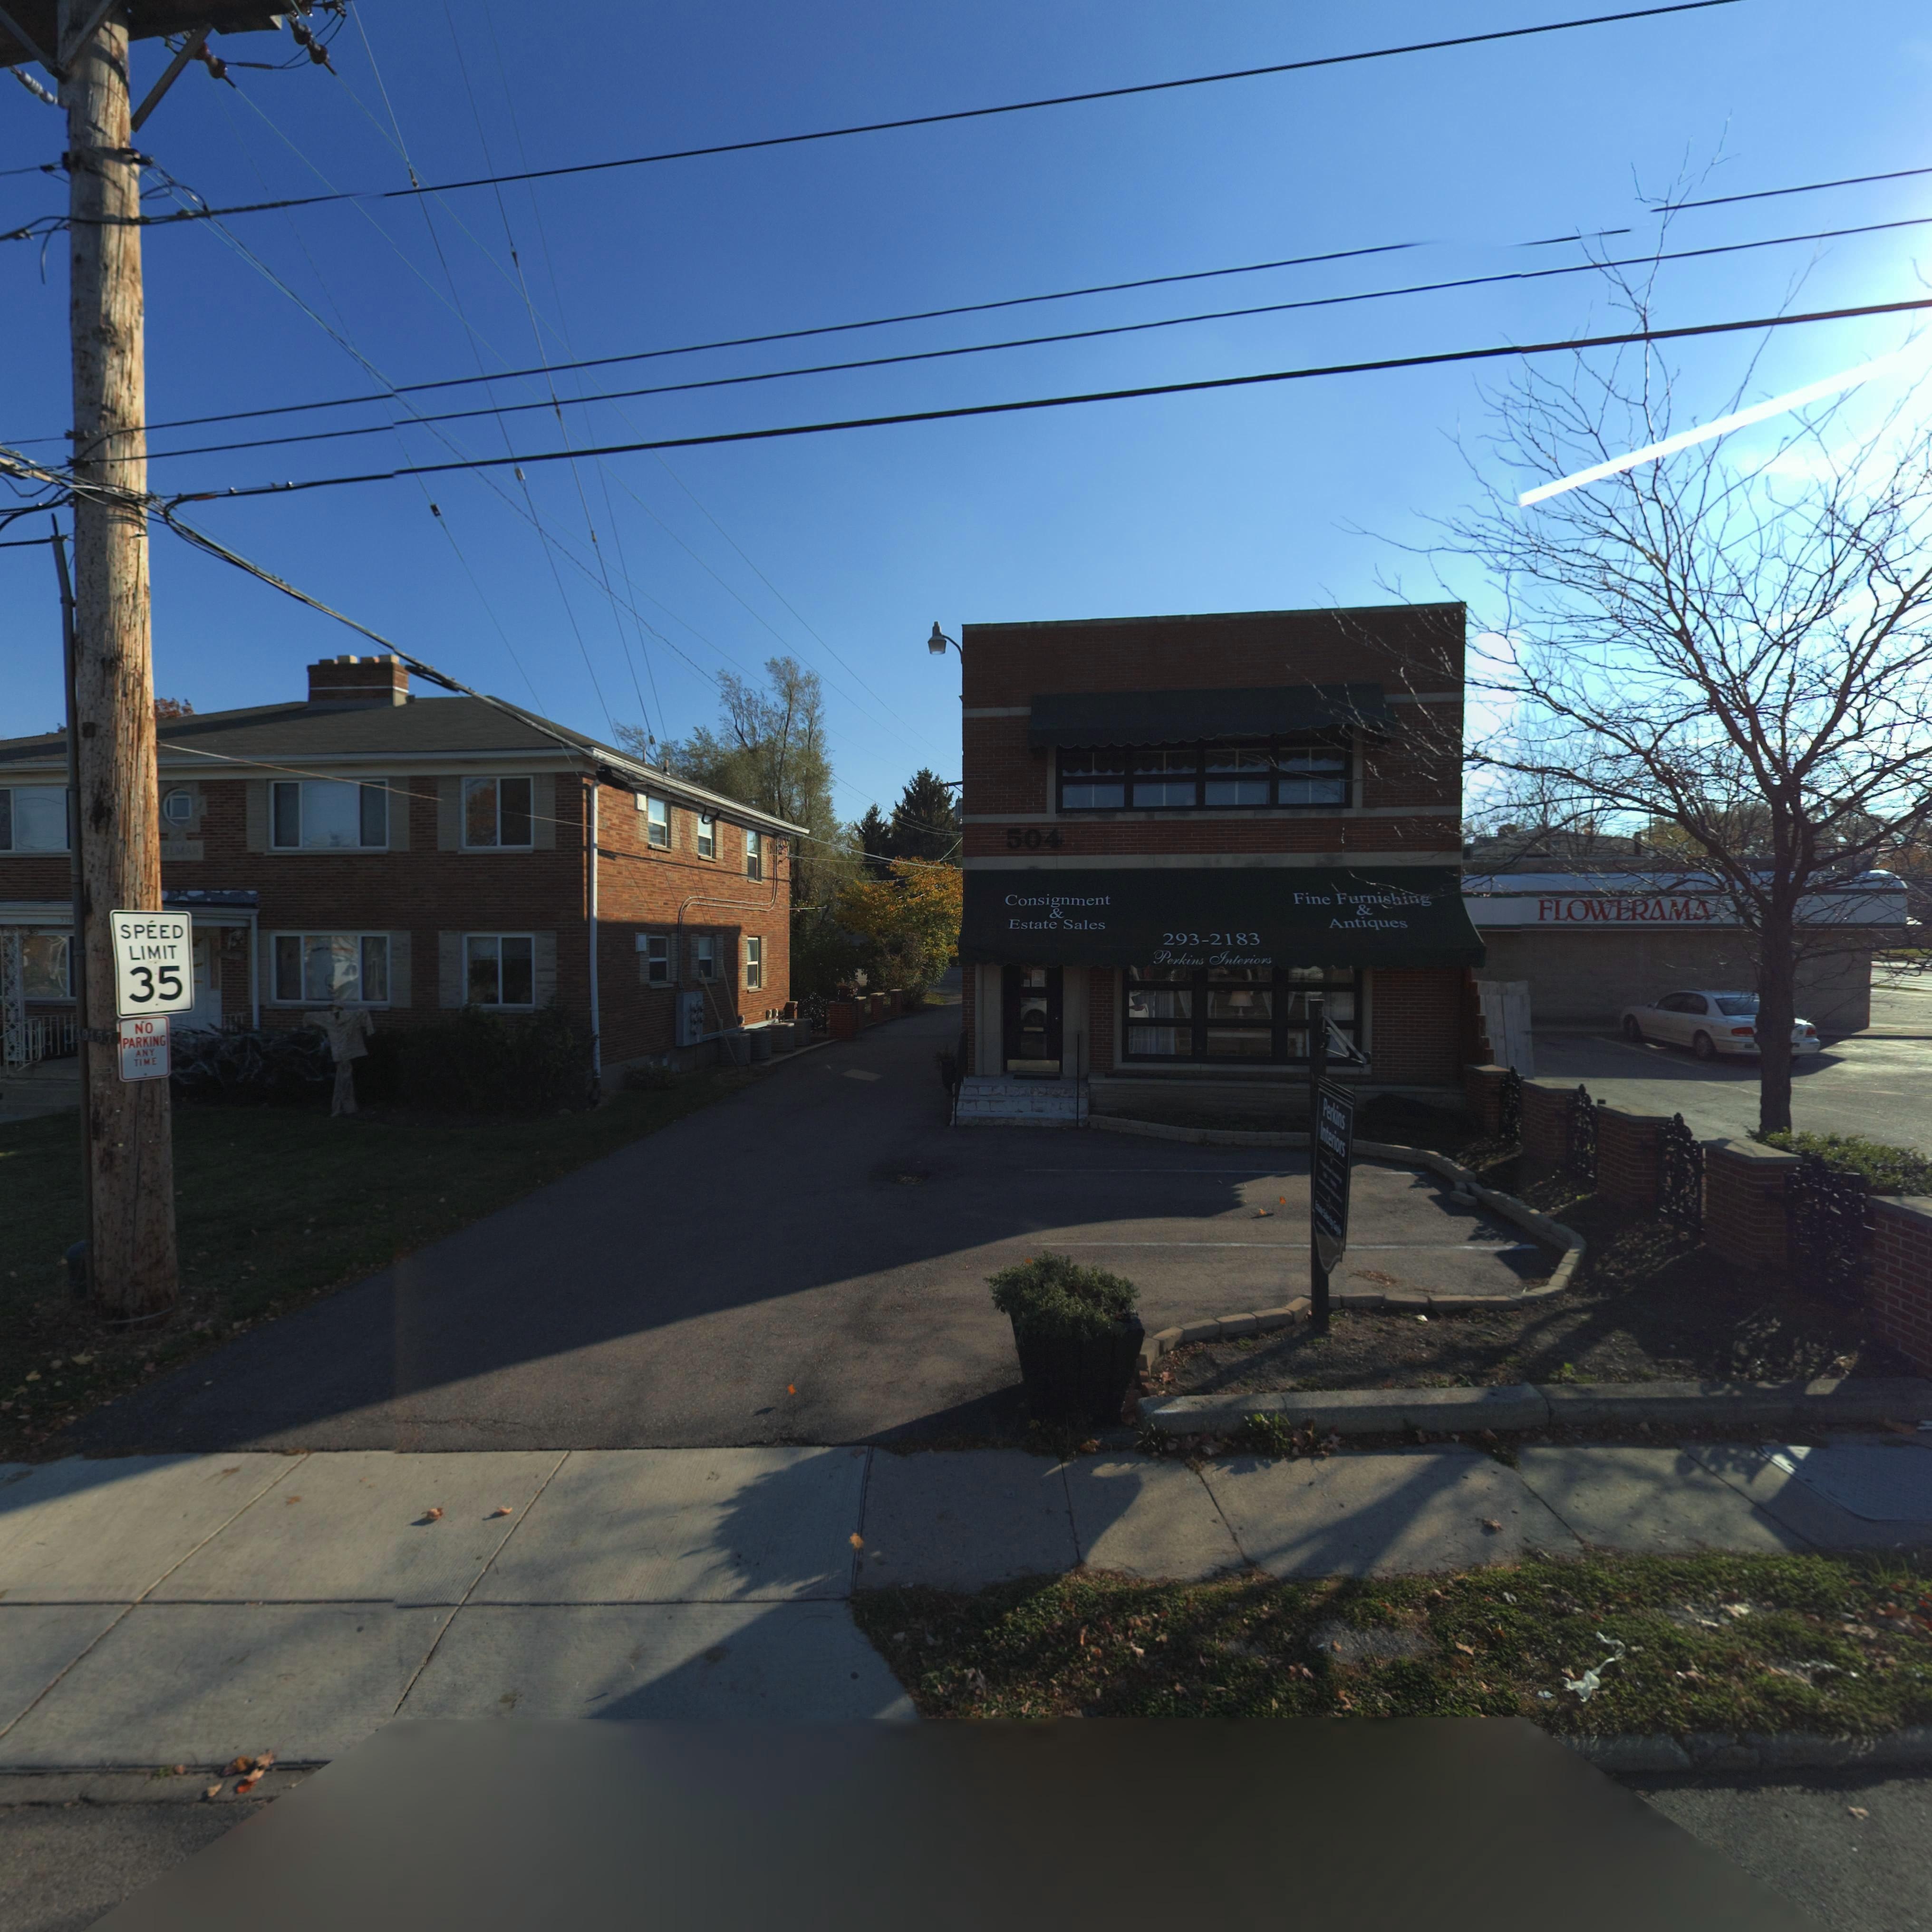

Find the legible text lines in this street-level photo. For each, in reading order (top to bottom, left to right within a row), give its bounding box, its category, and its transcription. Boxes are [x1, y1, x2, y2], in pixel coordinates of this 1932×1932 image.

[1006, 826, 1061, 850] StreetNumber: 504
[1536, 898, 1714, 921] BusinessName: FLOW*RAM*
[1151, 949, 1273, 966] BusinessName: Perkins Interiors
[1322, 1096, 1346, 1131] BusinessName: Perkins
[1319, 1119, 1347, 1160] BusinessName: Interiors